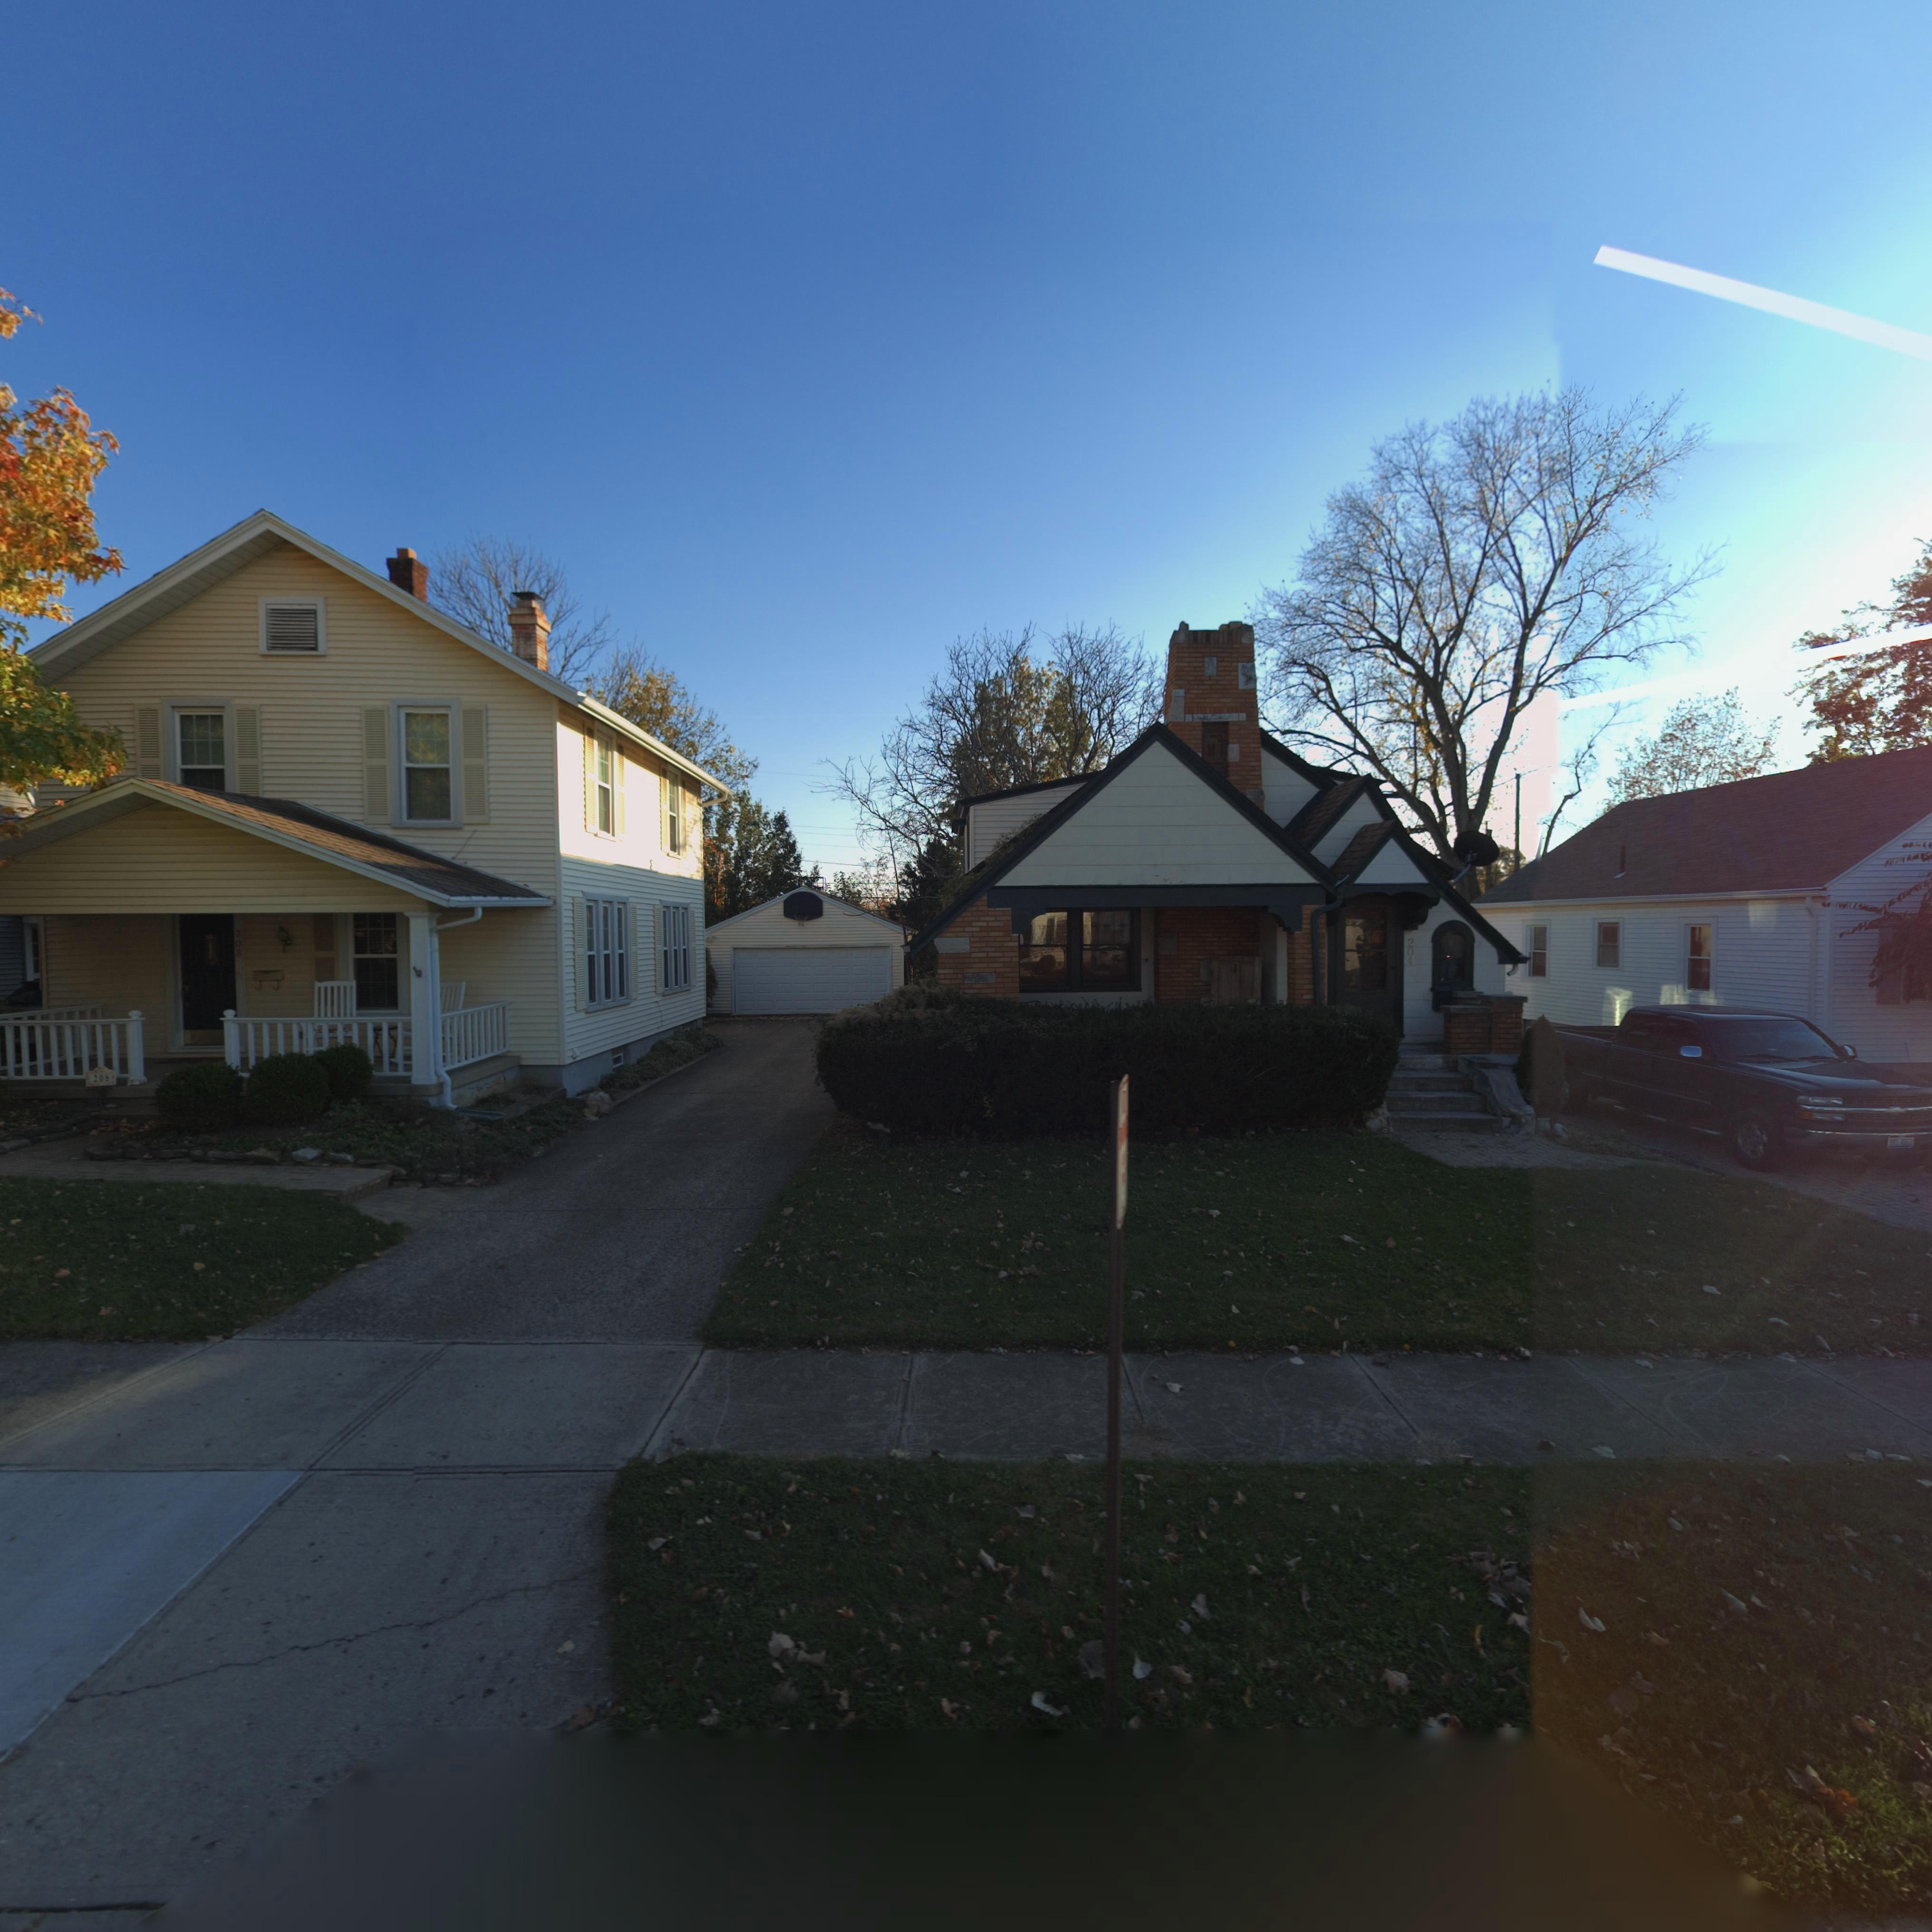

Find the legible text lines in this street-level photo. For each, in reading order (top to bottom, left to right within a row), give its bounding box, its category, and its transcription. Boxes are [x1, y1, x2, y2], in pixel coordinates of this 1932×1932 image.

[234, 929, 242, 957] StreetNumber: 208
[1406, 937, 1415, 966] StreetNumber: 204